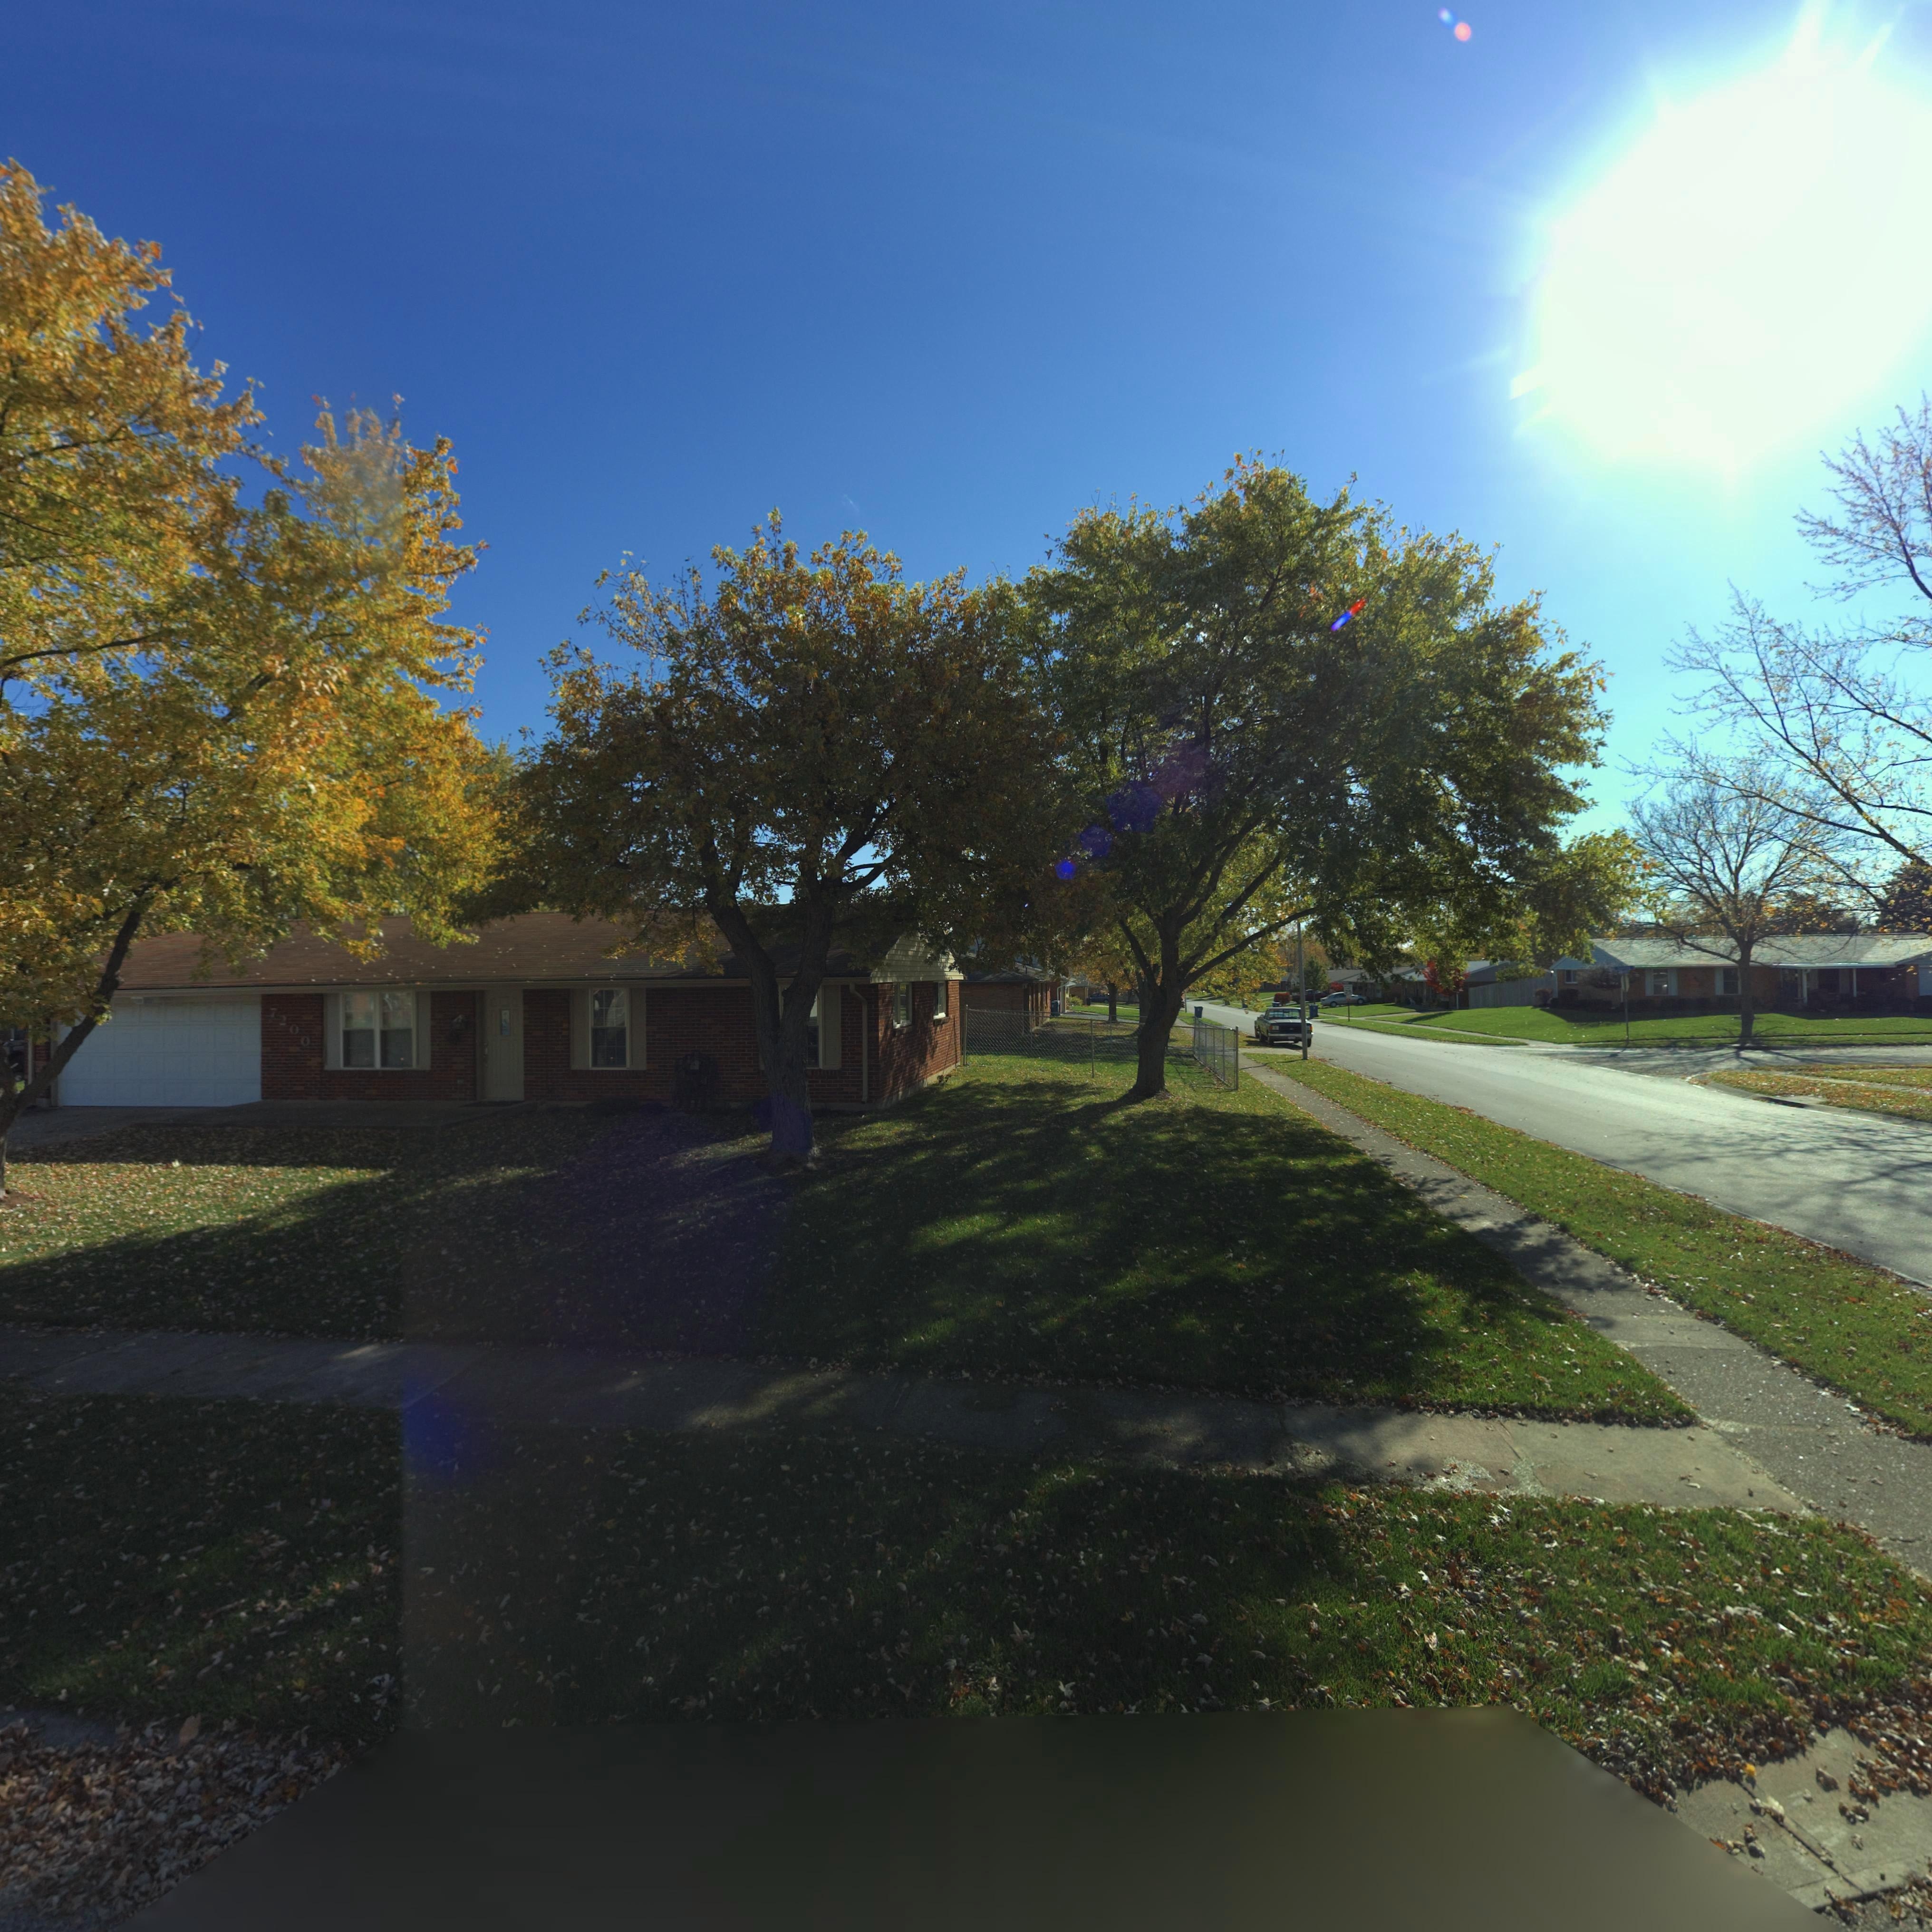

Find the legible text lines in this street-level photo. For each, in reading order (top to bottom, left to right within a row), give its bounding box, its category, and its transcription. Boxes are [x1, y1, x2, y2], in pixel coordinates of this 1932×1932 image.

[269, 1007, 311, 1048] StreetNumber: 7200